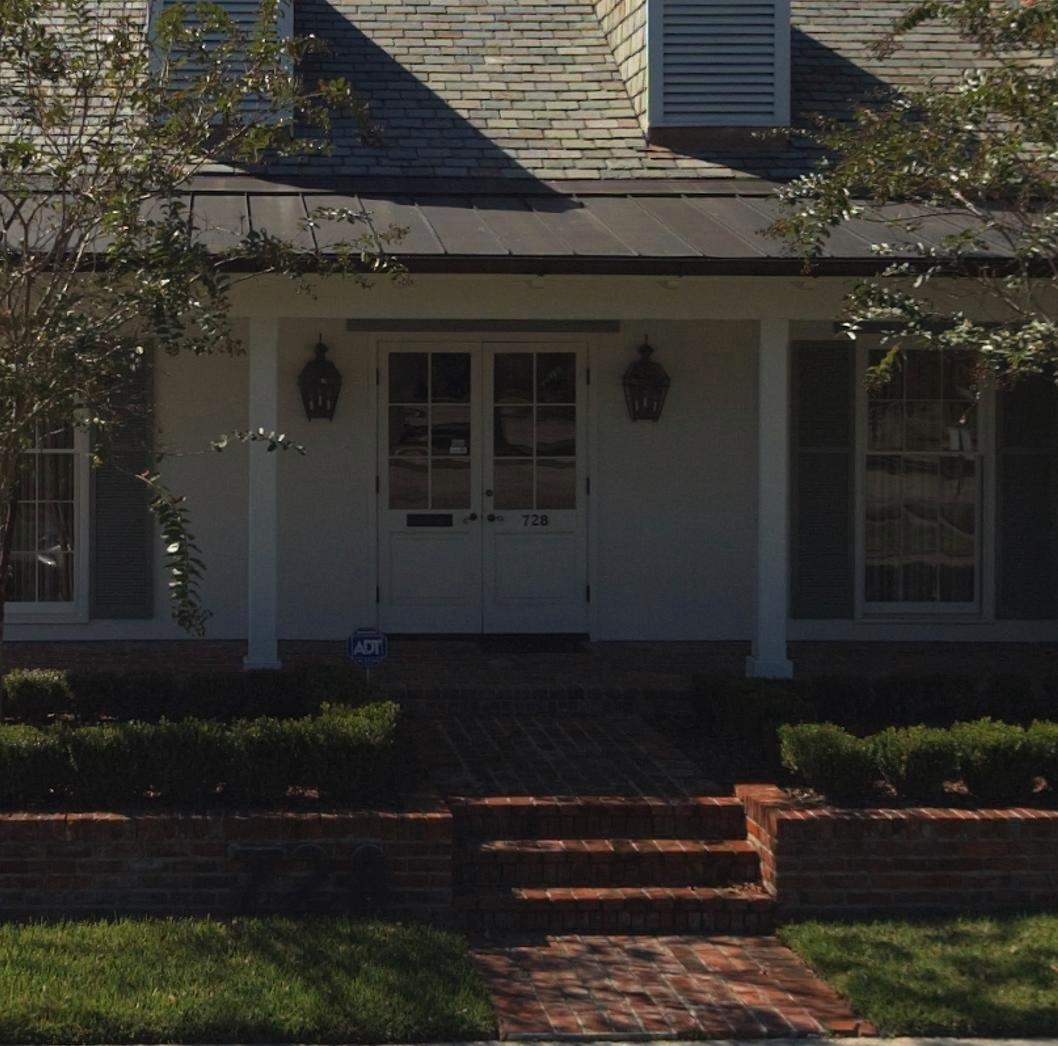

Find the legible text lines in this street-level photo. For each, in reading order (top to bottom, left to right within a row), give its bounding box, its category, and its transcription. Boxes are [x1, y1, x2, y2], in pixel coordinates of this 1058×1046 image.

[519, 513, 551, 527] StreetNumber: 728
[349, 638, 384, 657] None: ADT